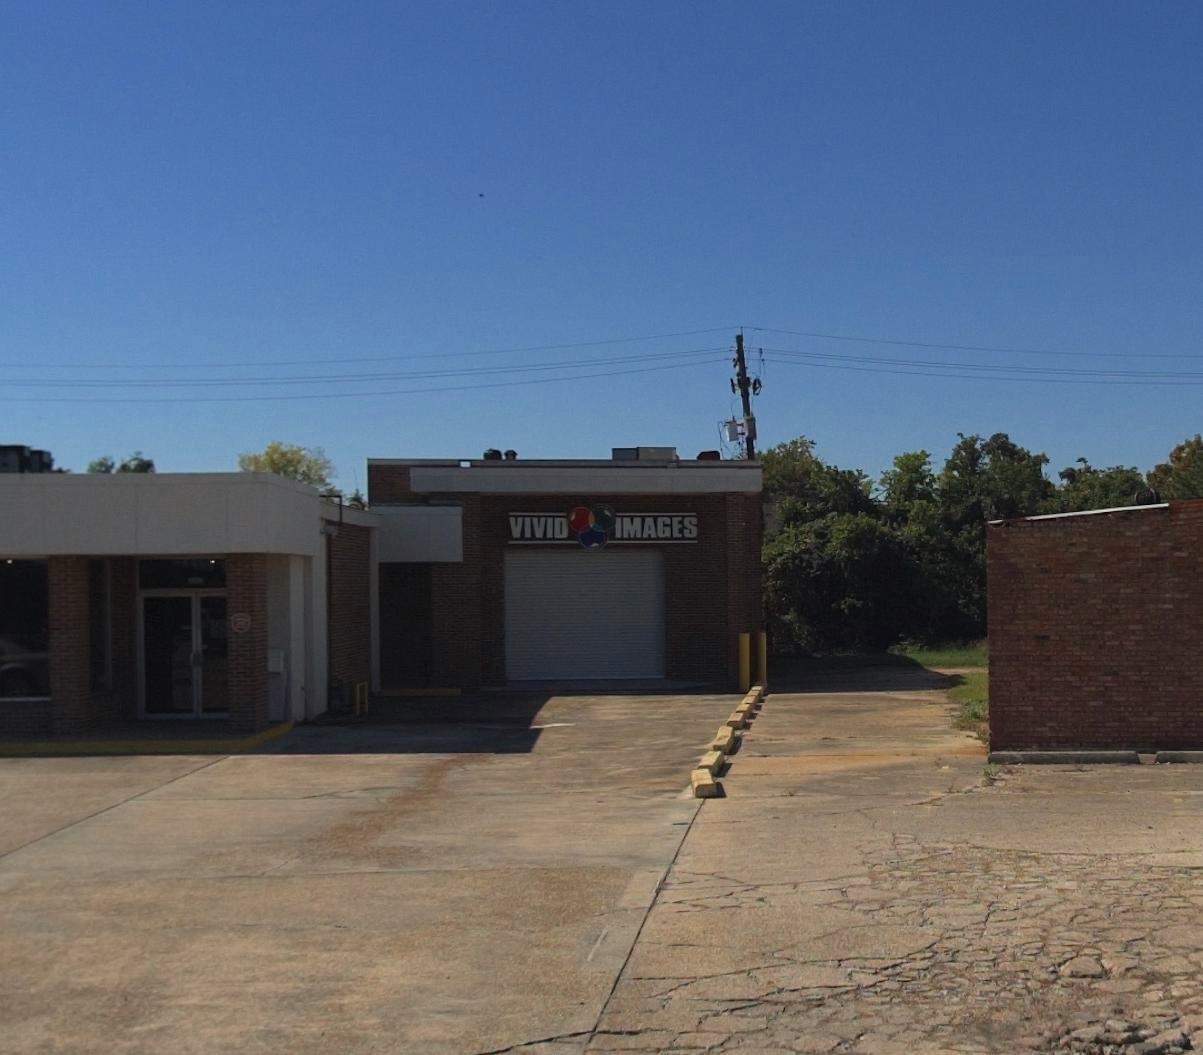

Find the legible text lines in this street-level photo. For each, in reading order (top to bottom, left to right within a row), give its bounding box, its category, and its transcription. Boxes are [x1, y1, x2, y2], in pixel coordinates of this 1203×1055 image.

[507, 515, 700, 540] BusinessName: VIVID * IMAGES